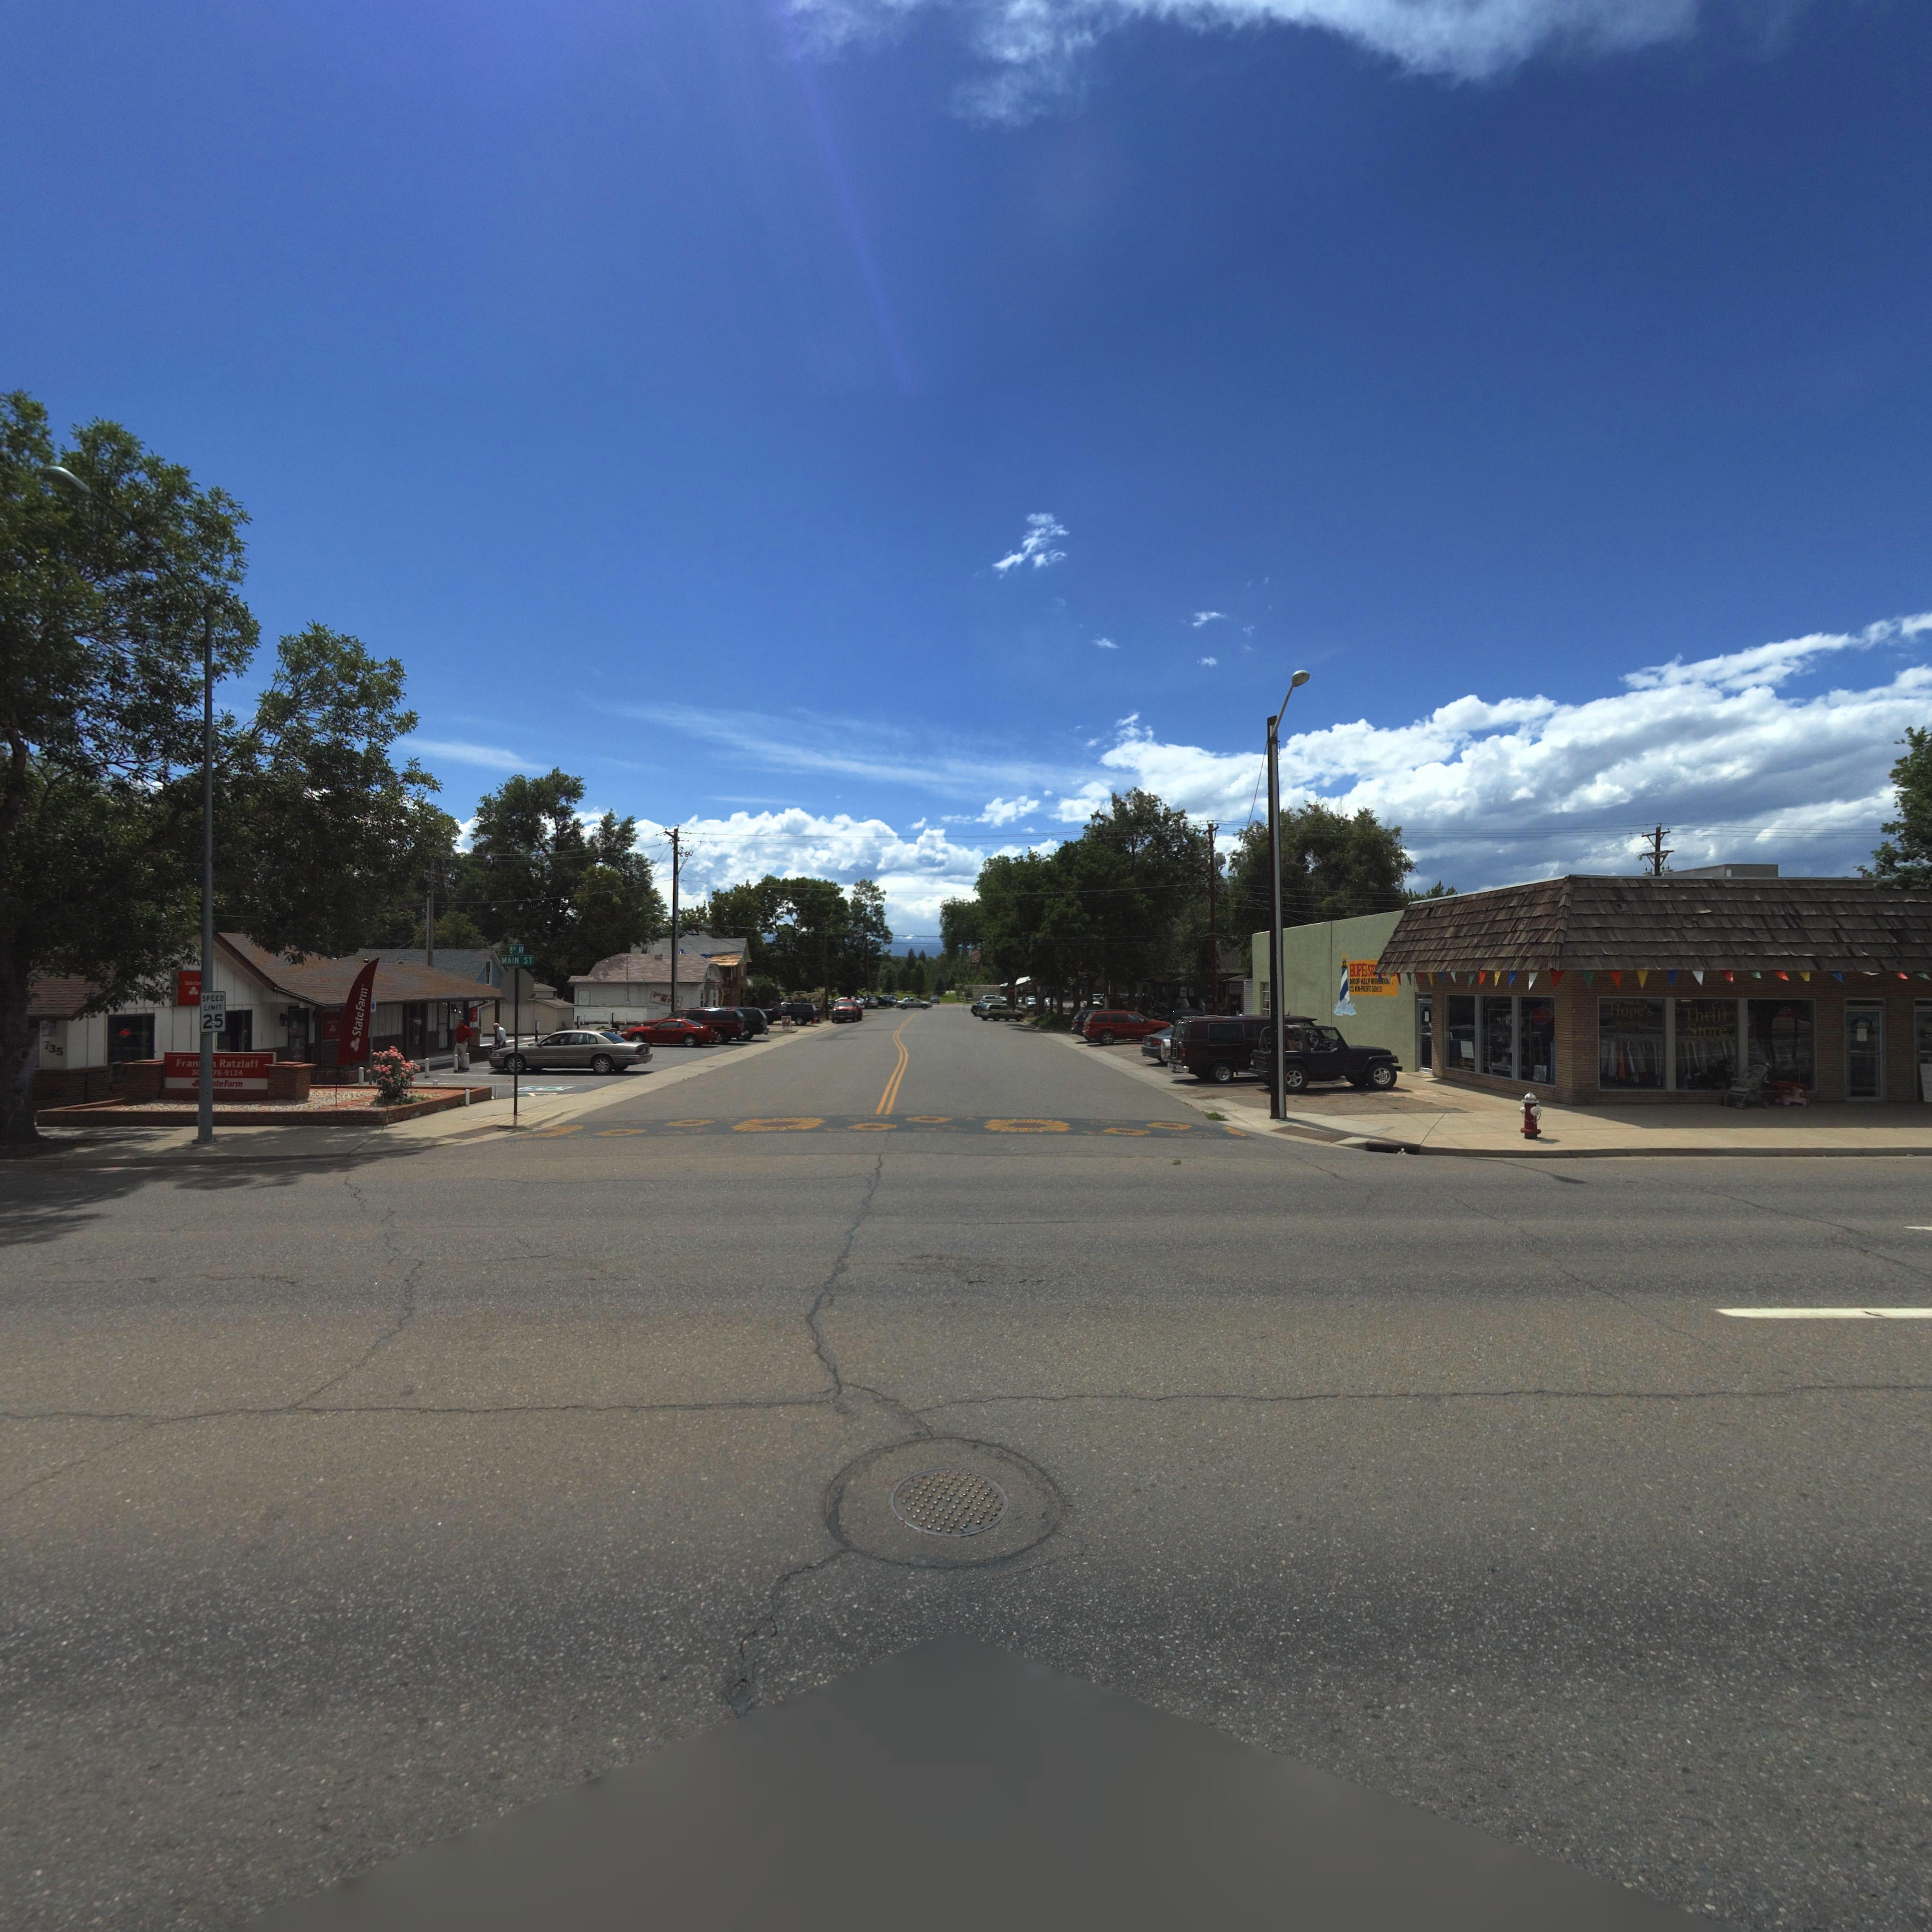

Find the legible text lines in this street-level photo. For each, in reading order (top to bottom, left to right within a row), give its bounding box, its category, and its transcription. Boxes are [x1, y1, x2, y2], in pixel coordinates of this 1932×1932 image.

[509, 946, 523, 953] StreetName: 8TH AV
[501, 956, 532, 964] StreetName: MAIN ST
[1348, 963, 1375, 977] BusinessName: HOPE's ST*
[184, 980, 201, 985] None: State Fa*
[351, 986, 368, 1037] BusinessName: State Farm
[1609, 1002, 1653, 1019] BusinessName: Hope's
[1682, 1006, 1727, 1022] BusinessName: Thrift
[326, 1020, 339, 1024] BusinessName: State Farm
[1615, 1020, 1649, 1026] BusinessName: Storehouse
[1687, 1022, 1728, 1039] BusinessName: Store
[43, 1040, 63, 1056] StreetNumber: 735
[212, 1080, 243, 1087] BusinessName: *te Farm